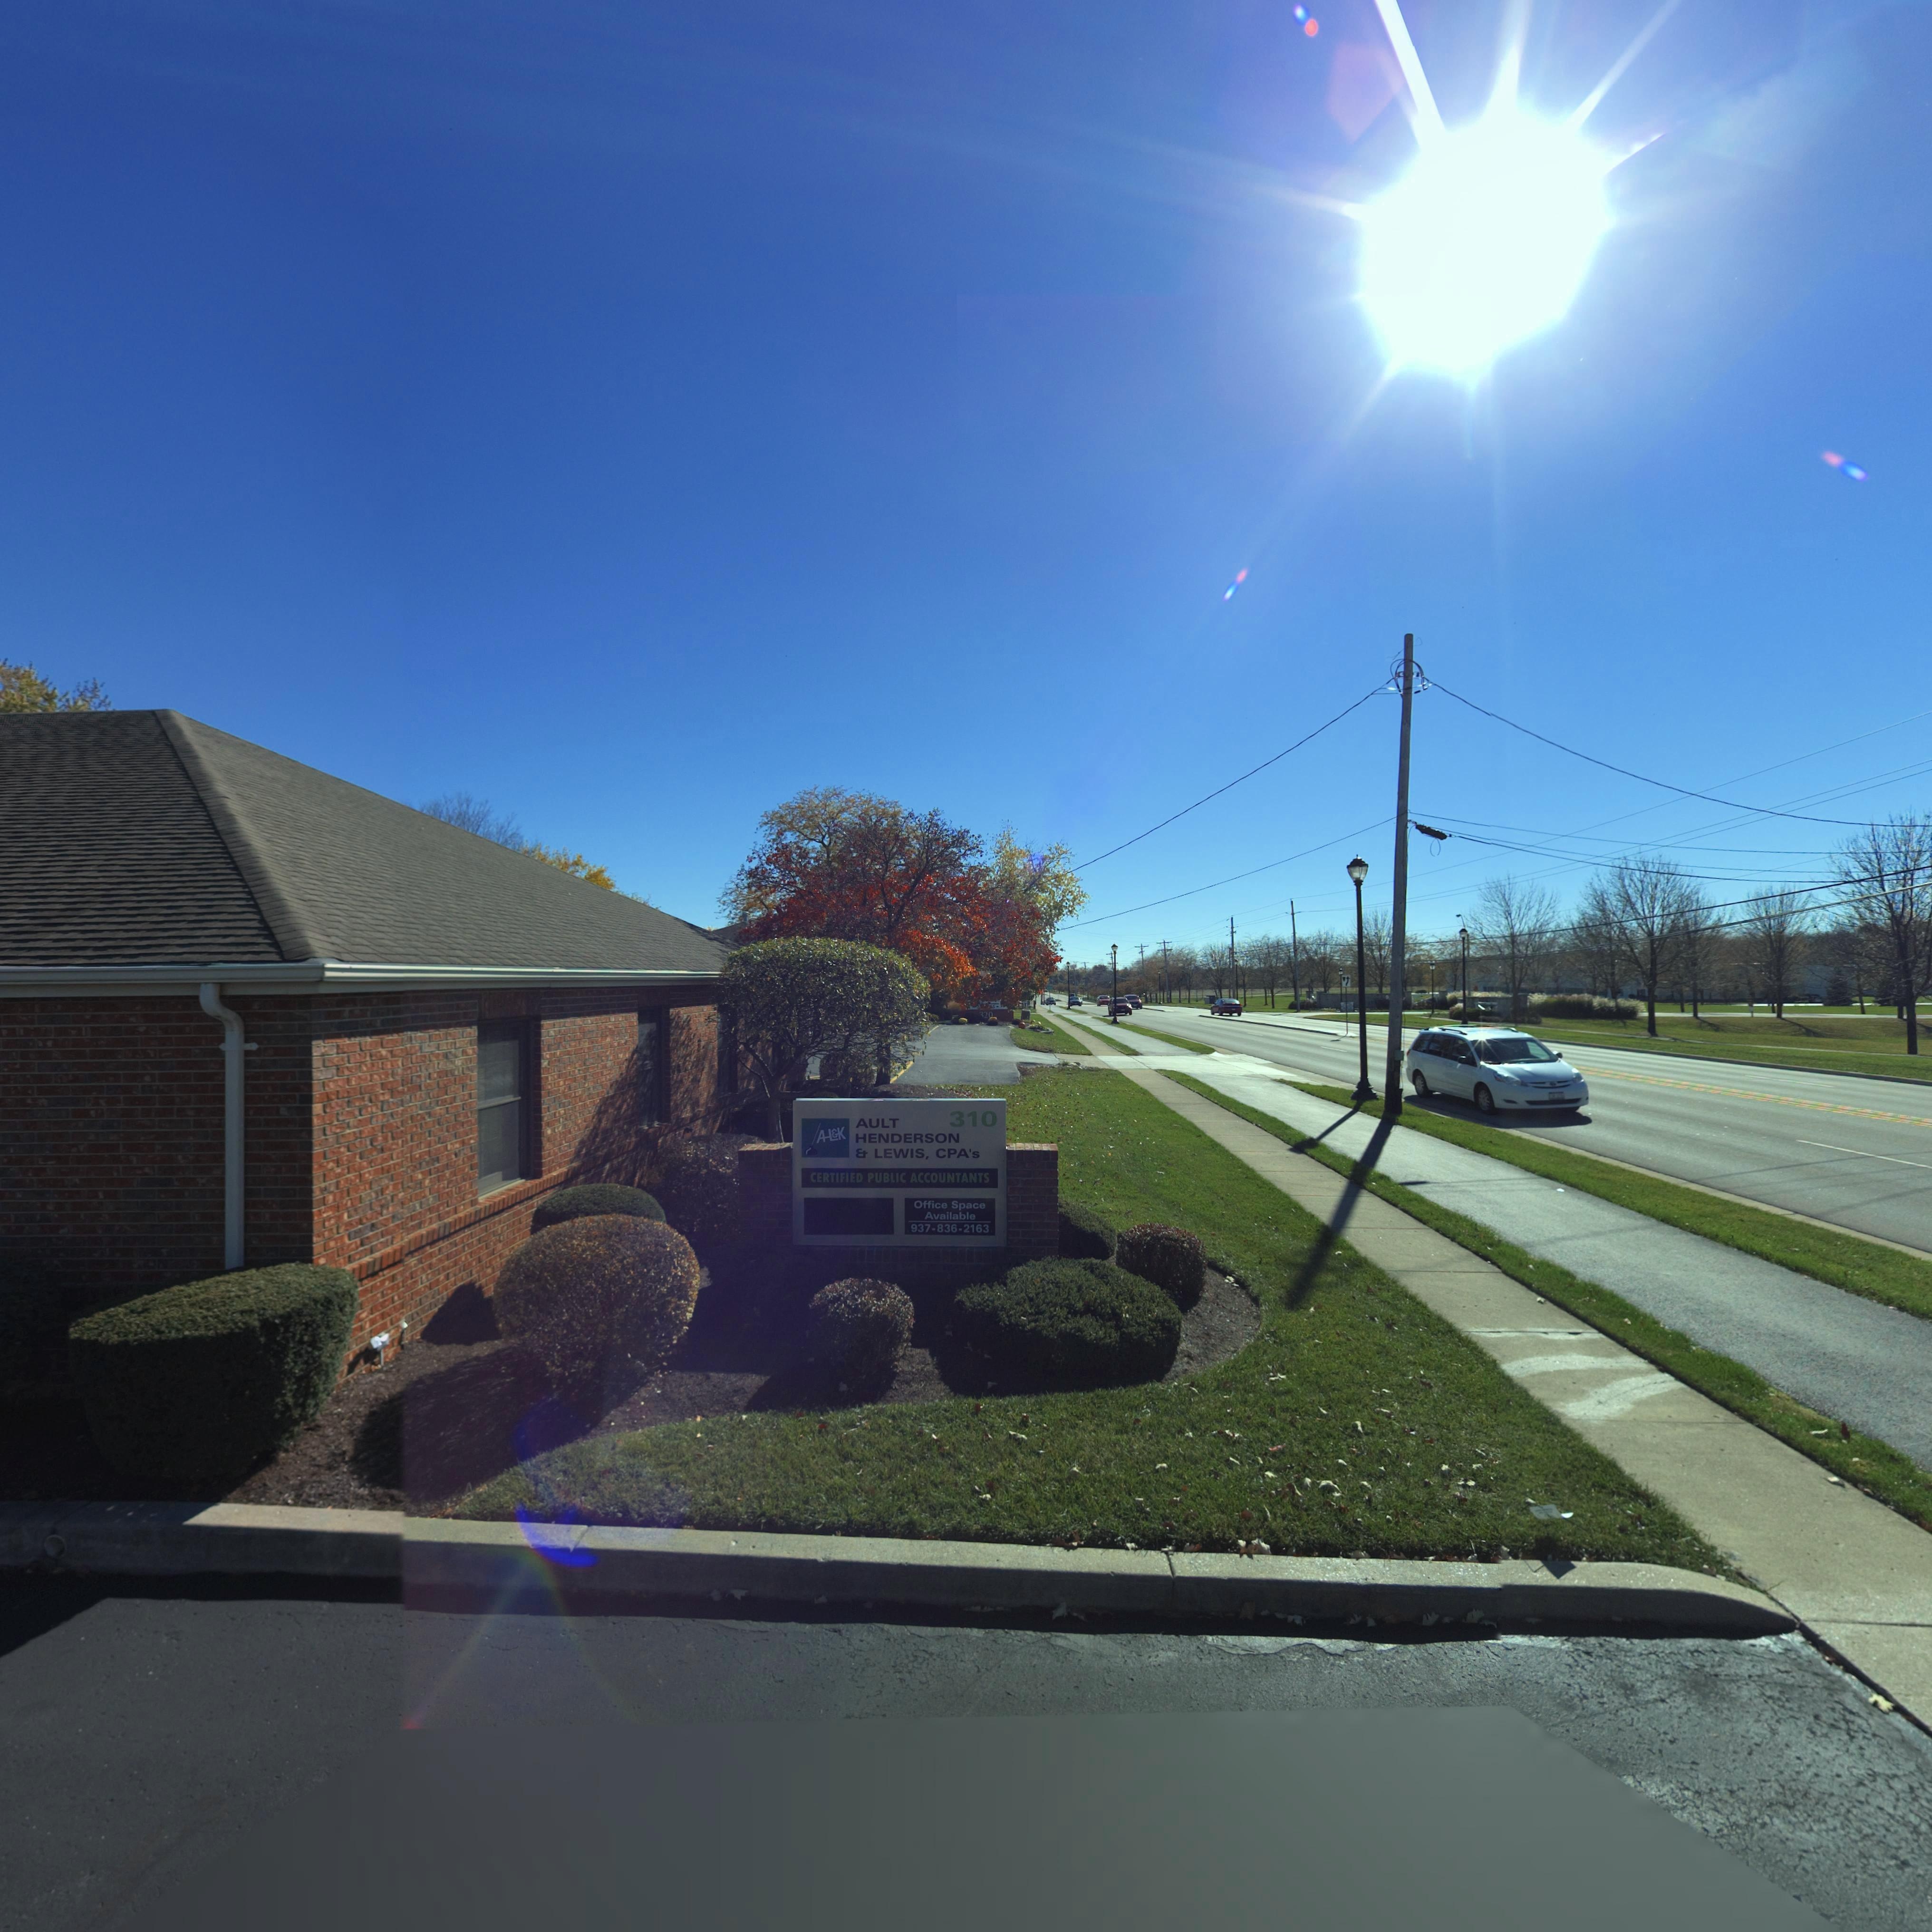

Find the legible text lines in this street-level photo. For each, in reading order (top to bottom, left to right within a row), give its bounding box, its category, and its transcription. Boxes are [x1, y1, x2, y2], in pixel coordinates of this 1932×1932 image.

[854, 1117, 900, 1130] BusinessName: AULT
[948, 1109, 999, 1129] StreetNumber: 310
[815, 1125, 848, 1144] None: A-L&K
[855, 1132, 961, 1144] BusinessName: HENDERSON
[854, 1148, 981, 1160] BusinessName: & LEWIS, CPA's
[810, 1171, 990, 1184] None: CERTIFIED PUBLIC ACCOUNTANTS
[913, 1199, 986, 1211] None: Office Space
[923, 1210, 977, 1221] None: Available
[910, 1223, 990, 1234] None: 937-836-2163